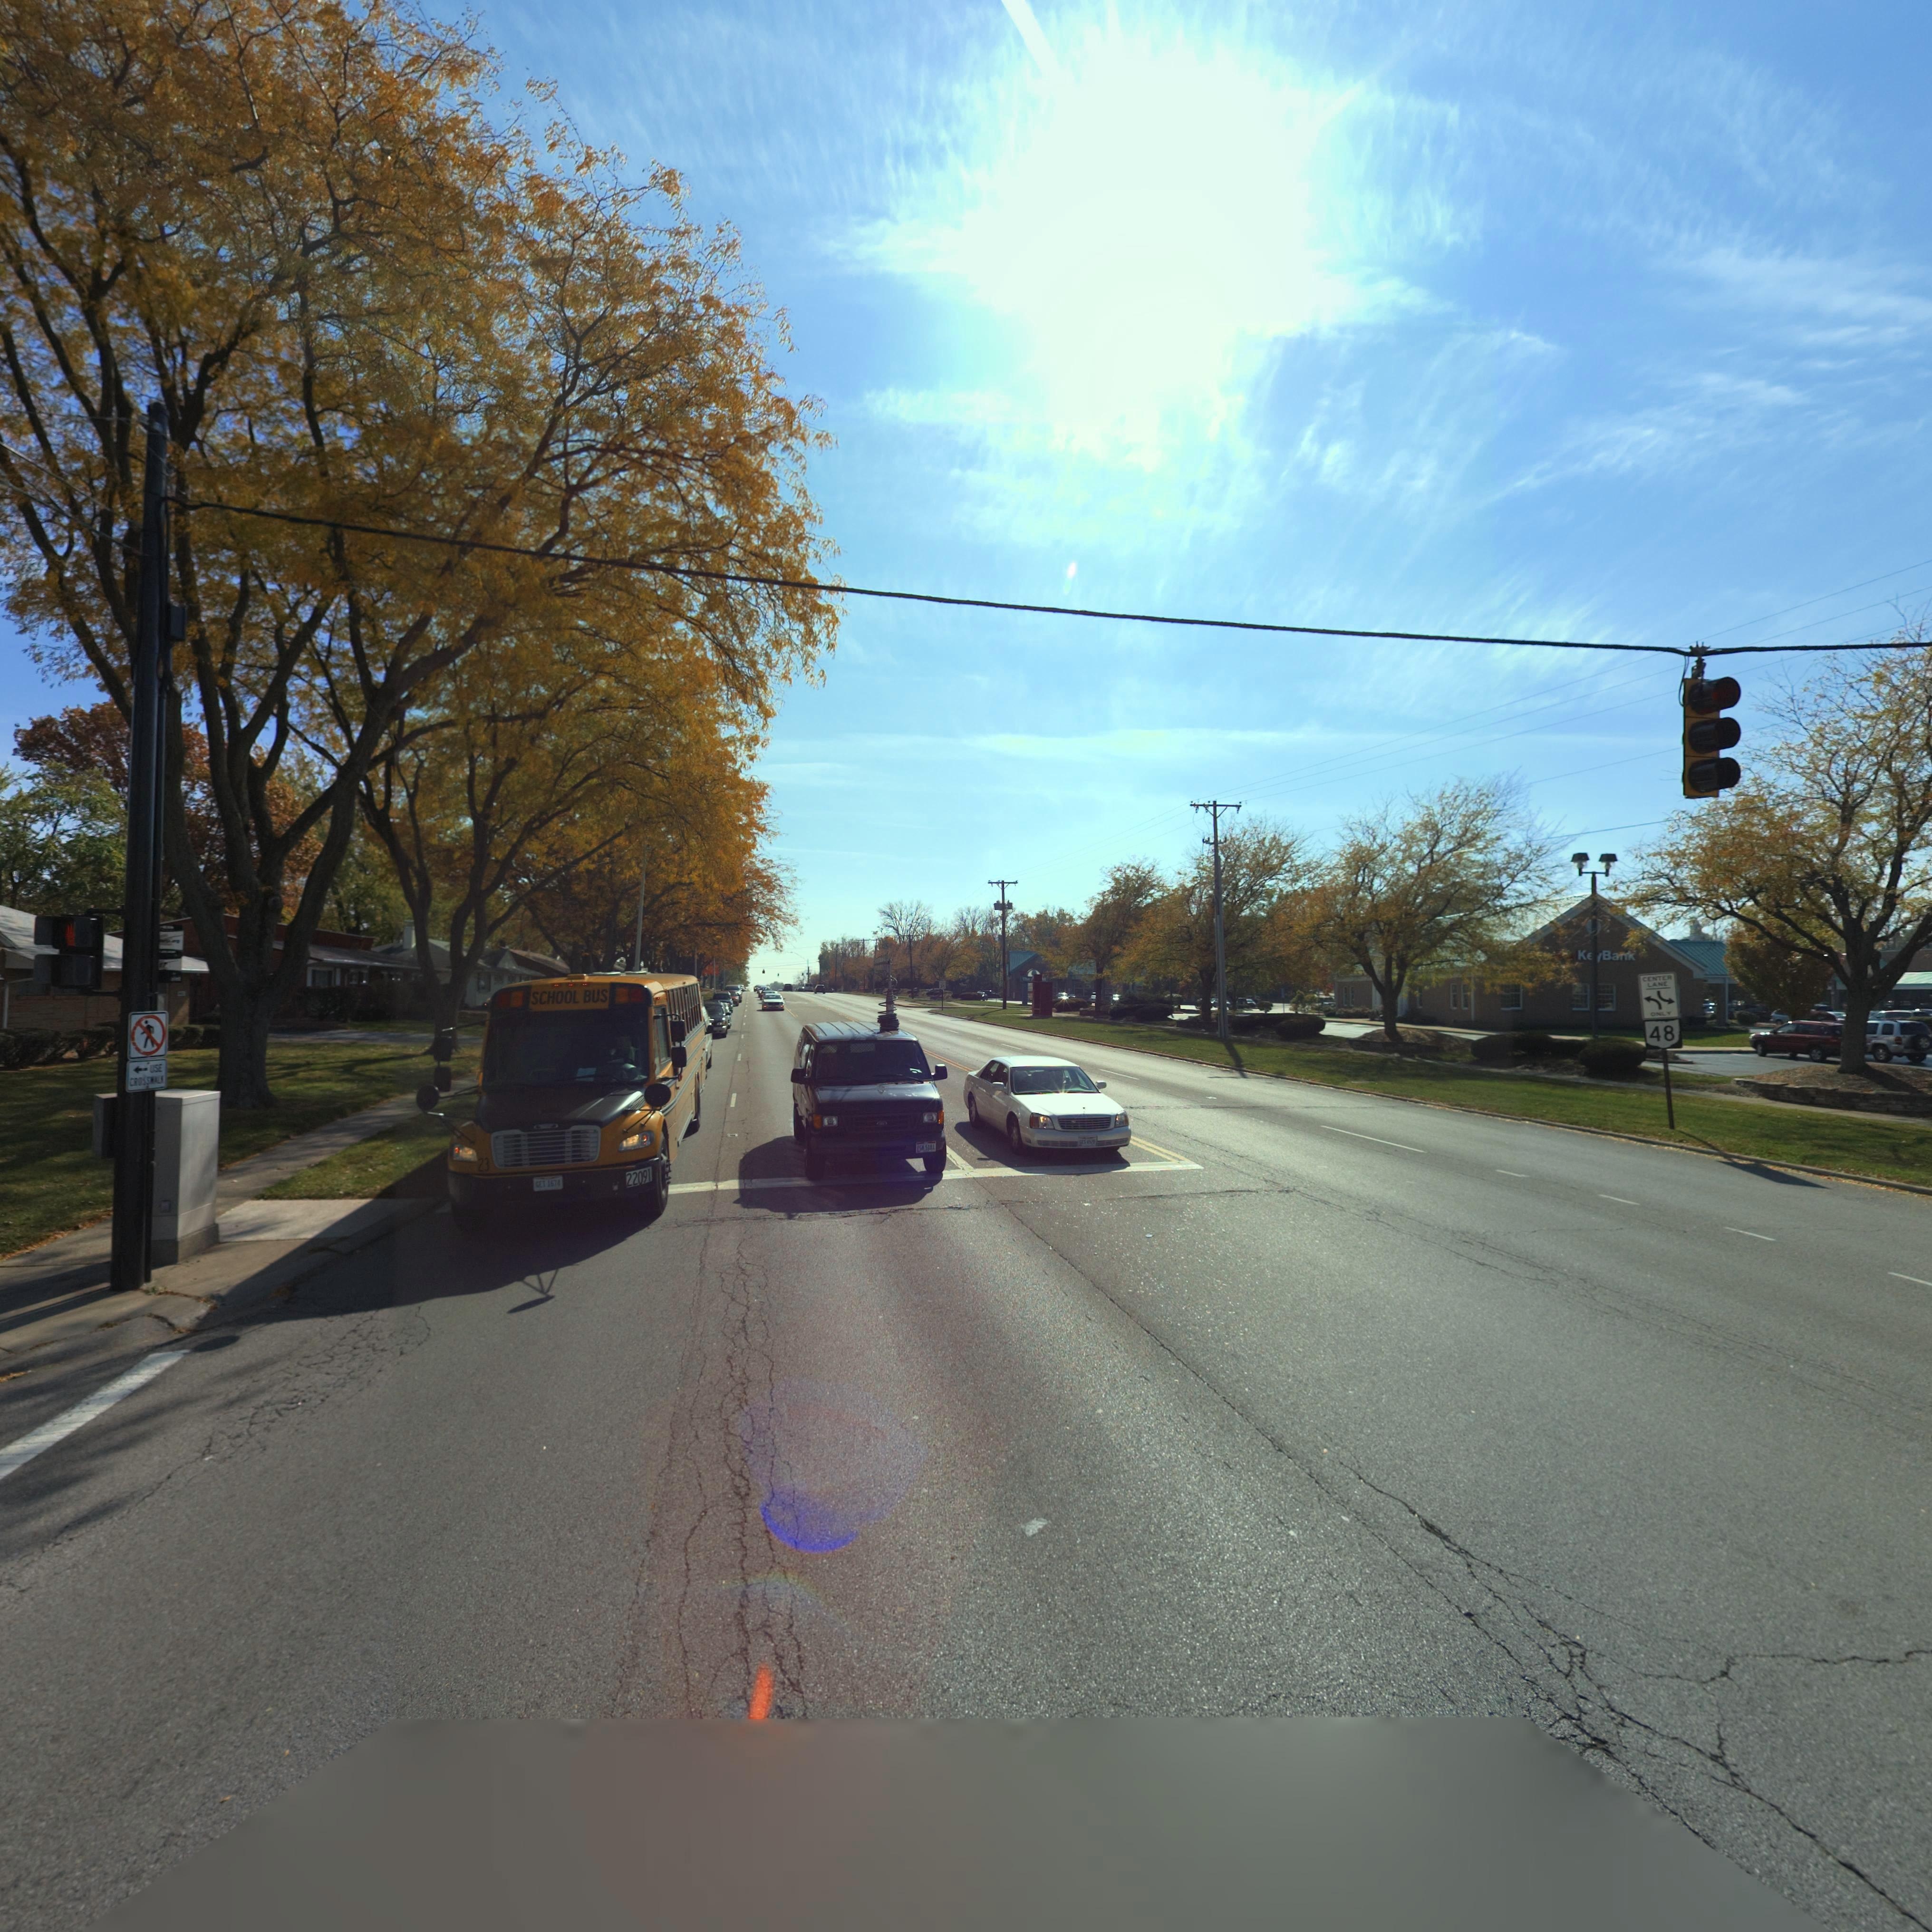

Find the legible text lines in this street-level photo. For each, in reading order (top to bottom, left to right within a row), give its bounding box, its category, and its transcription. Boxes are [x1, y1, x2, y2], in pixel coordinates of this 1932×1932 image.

[1577, 948, 1637, 962] BusinessName: K**Ba**